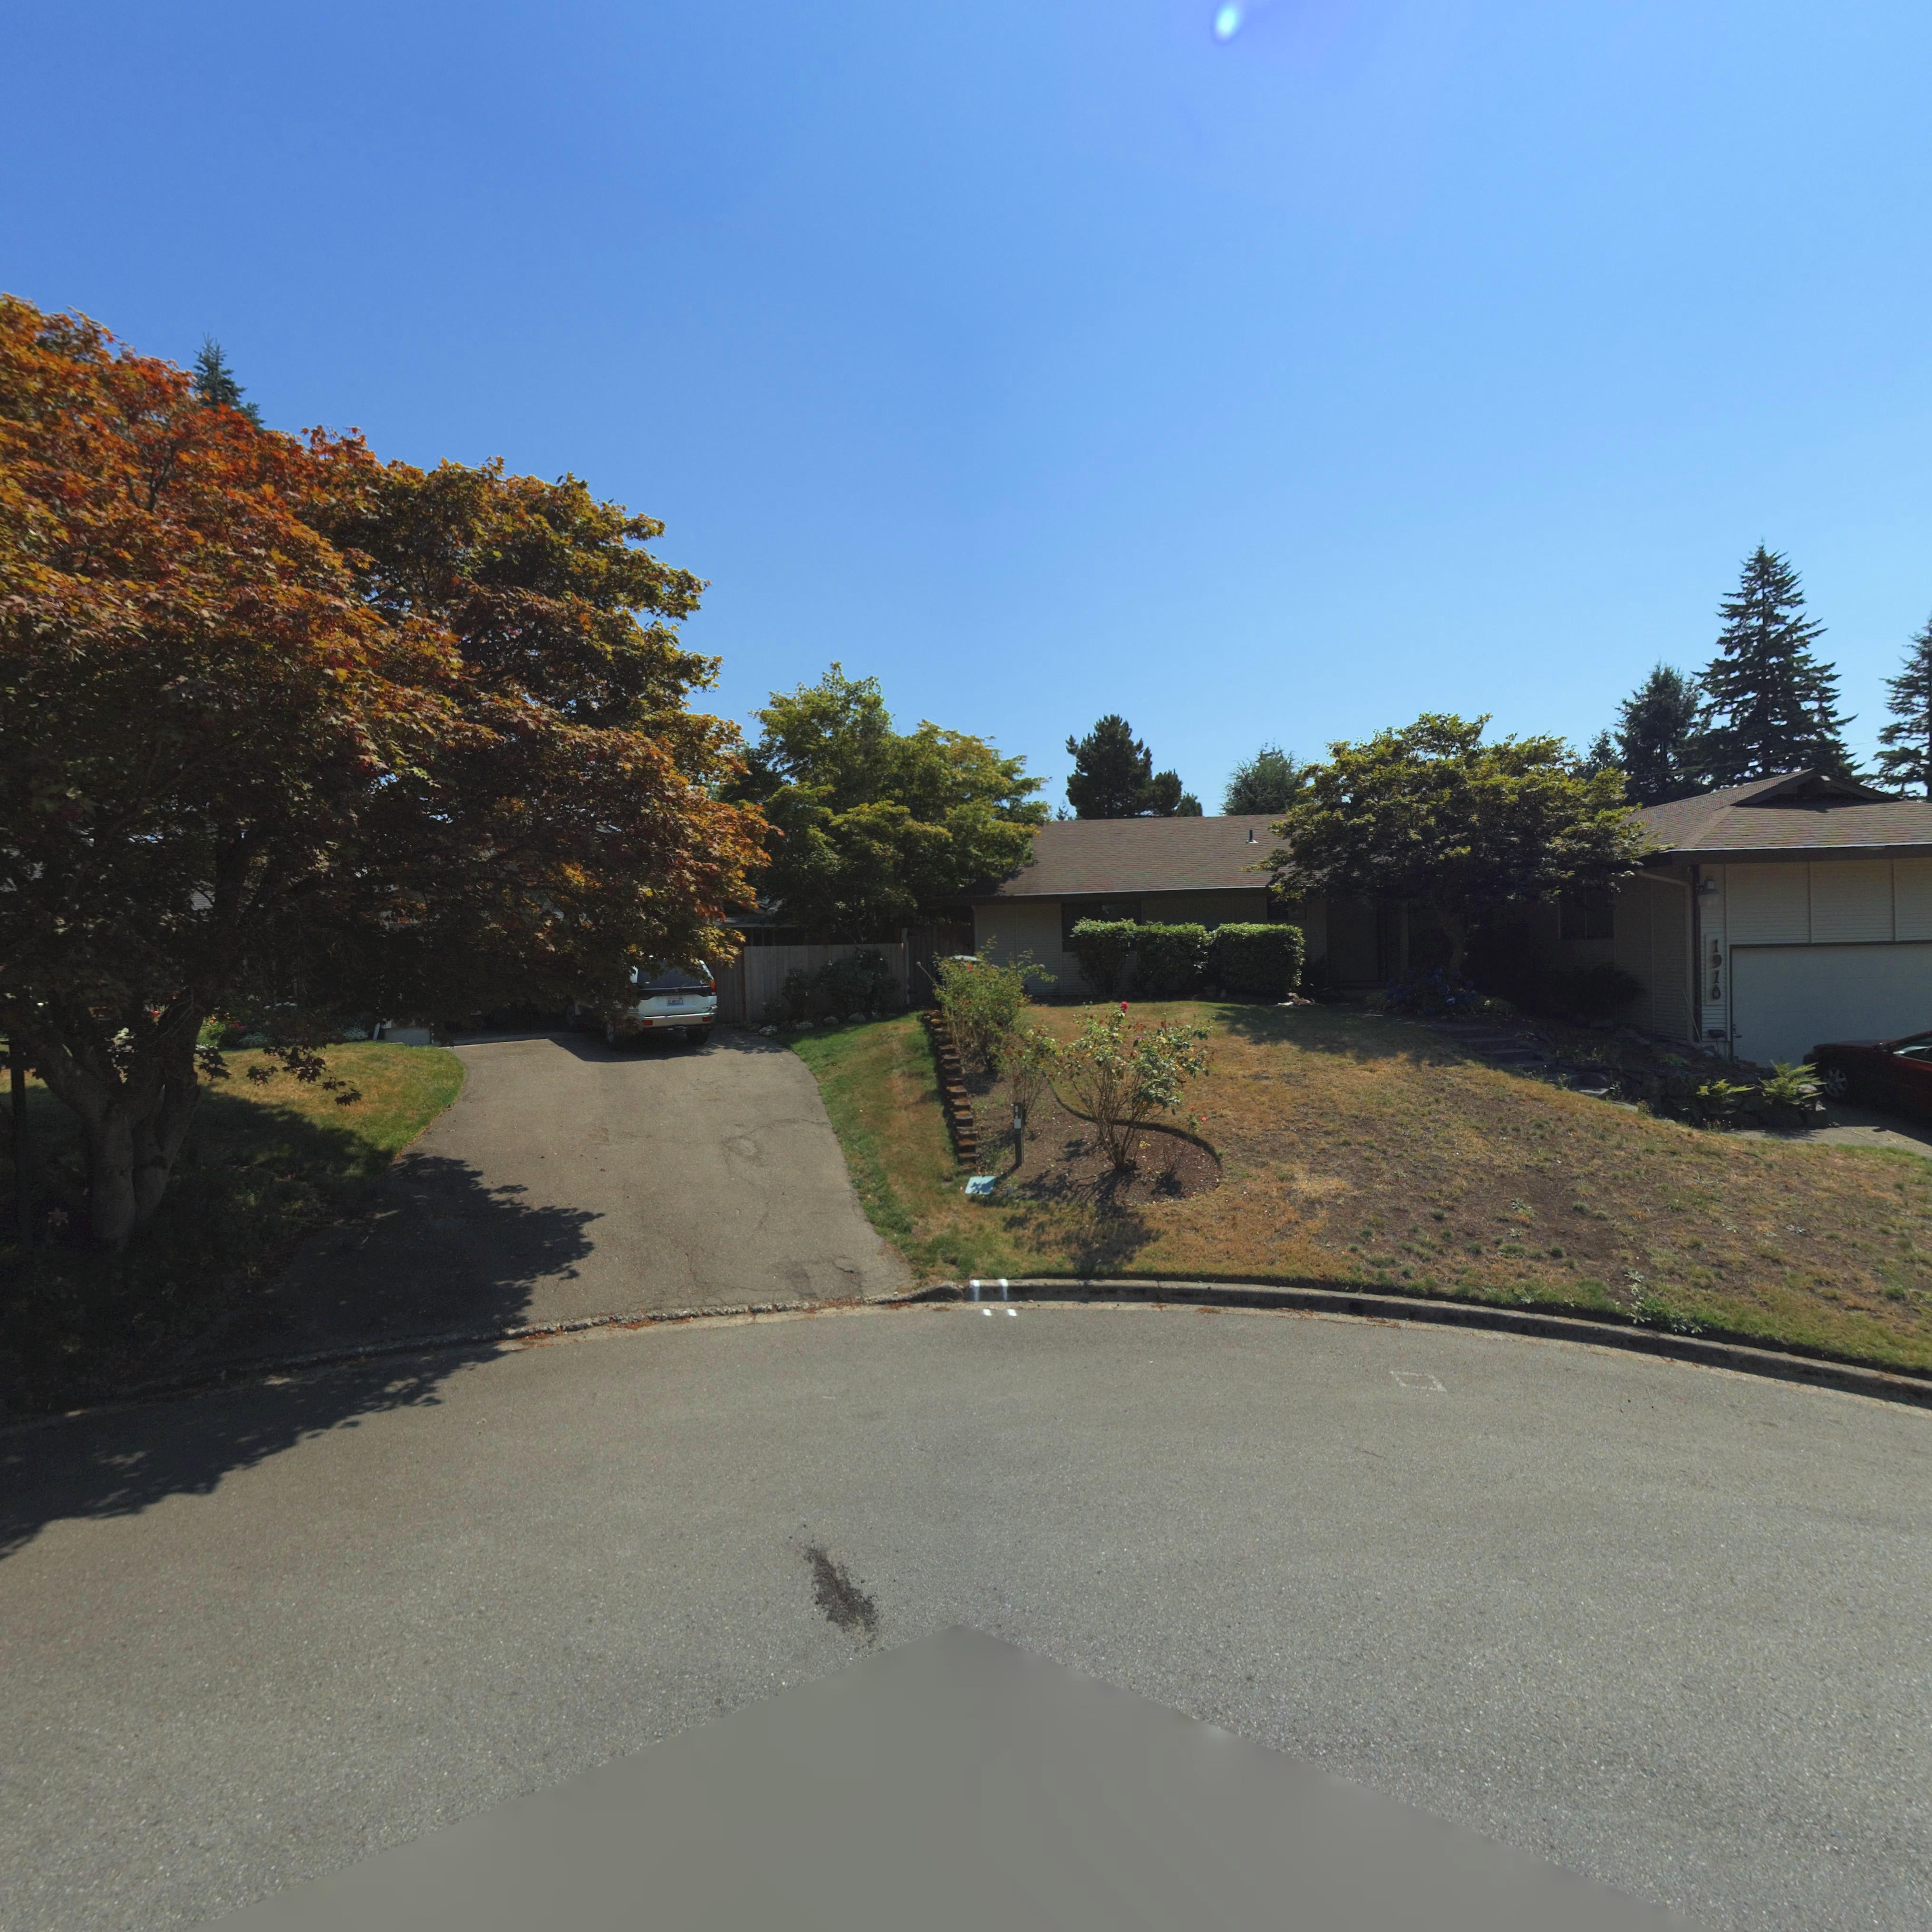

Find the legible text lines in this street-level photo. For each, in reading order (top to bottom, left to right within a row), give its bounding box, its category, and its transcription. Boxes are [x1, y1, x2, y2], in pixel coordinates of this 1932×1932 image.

[1712, 939, 1722, 1000] StreetNumber: 1910